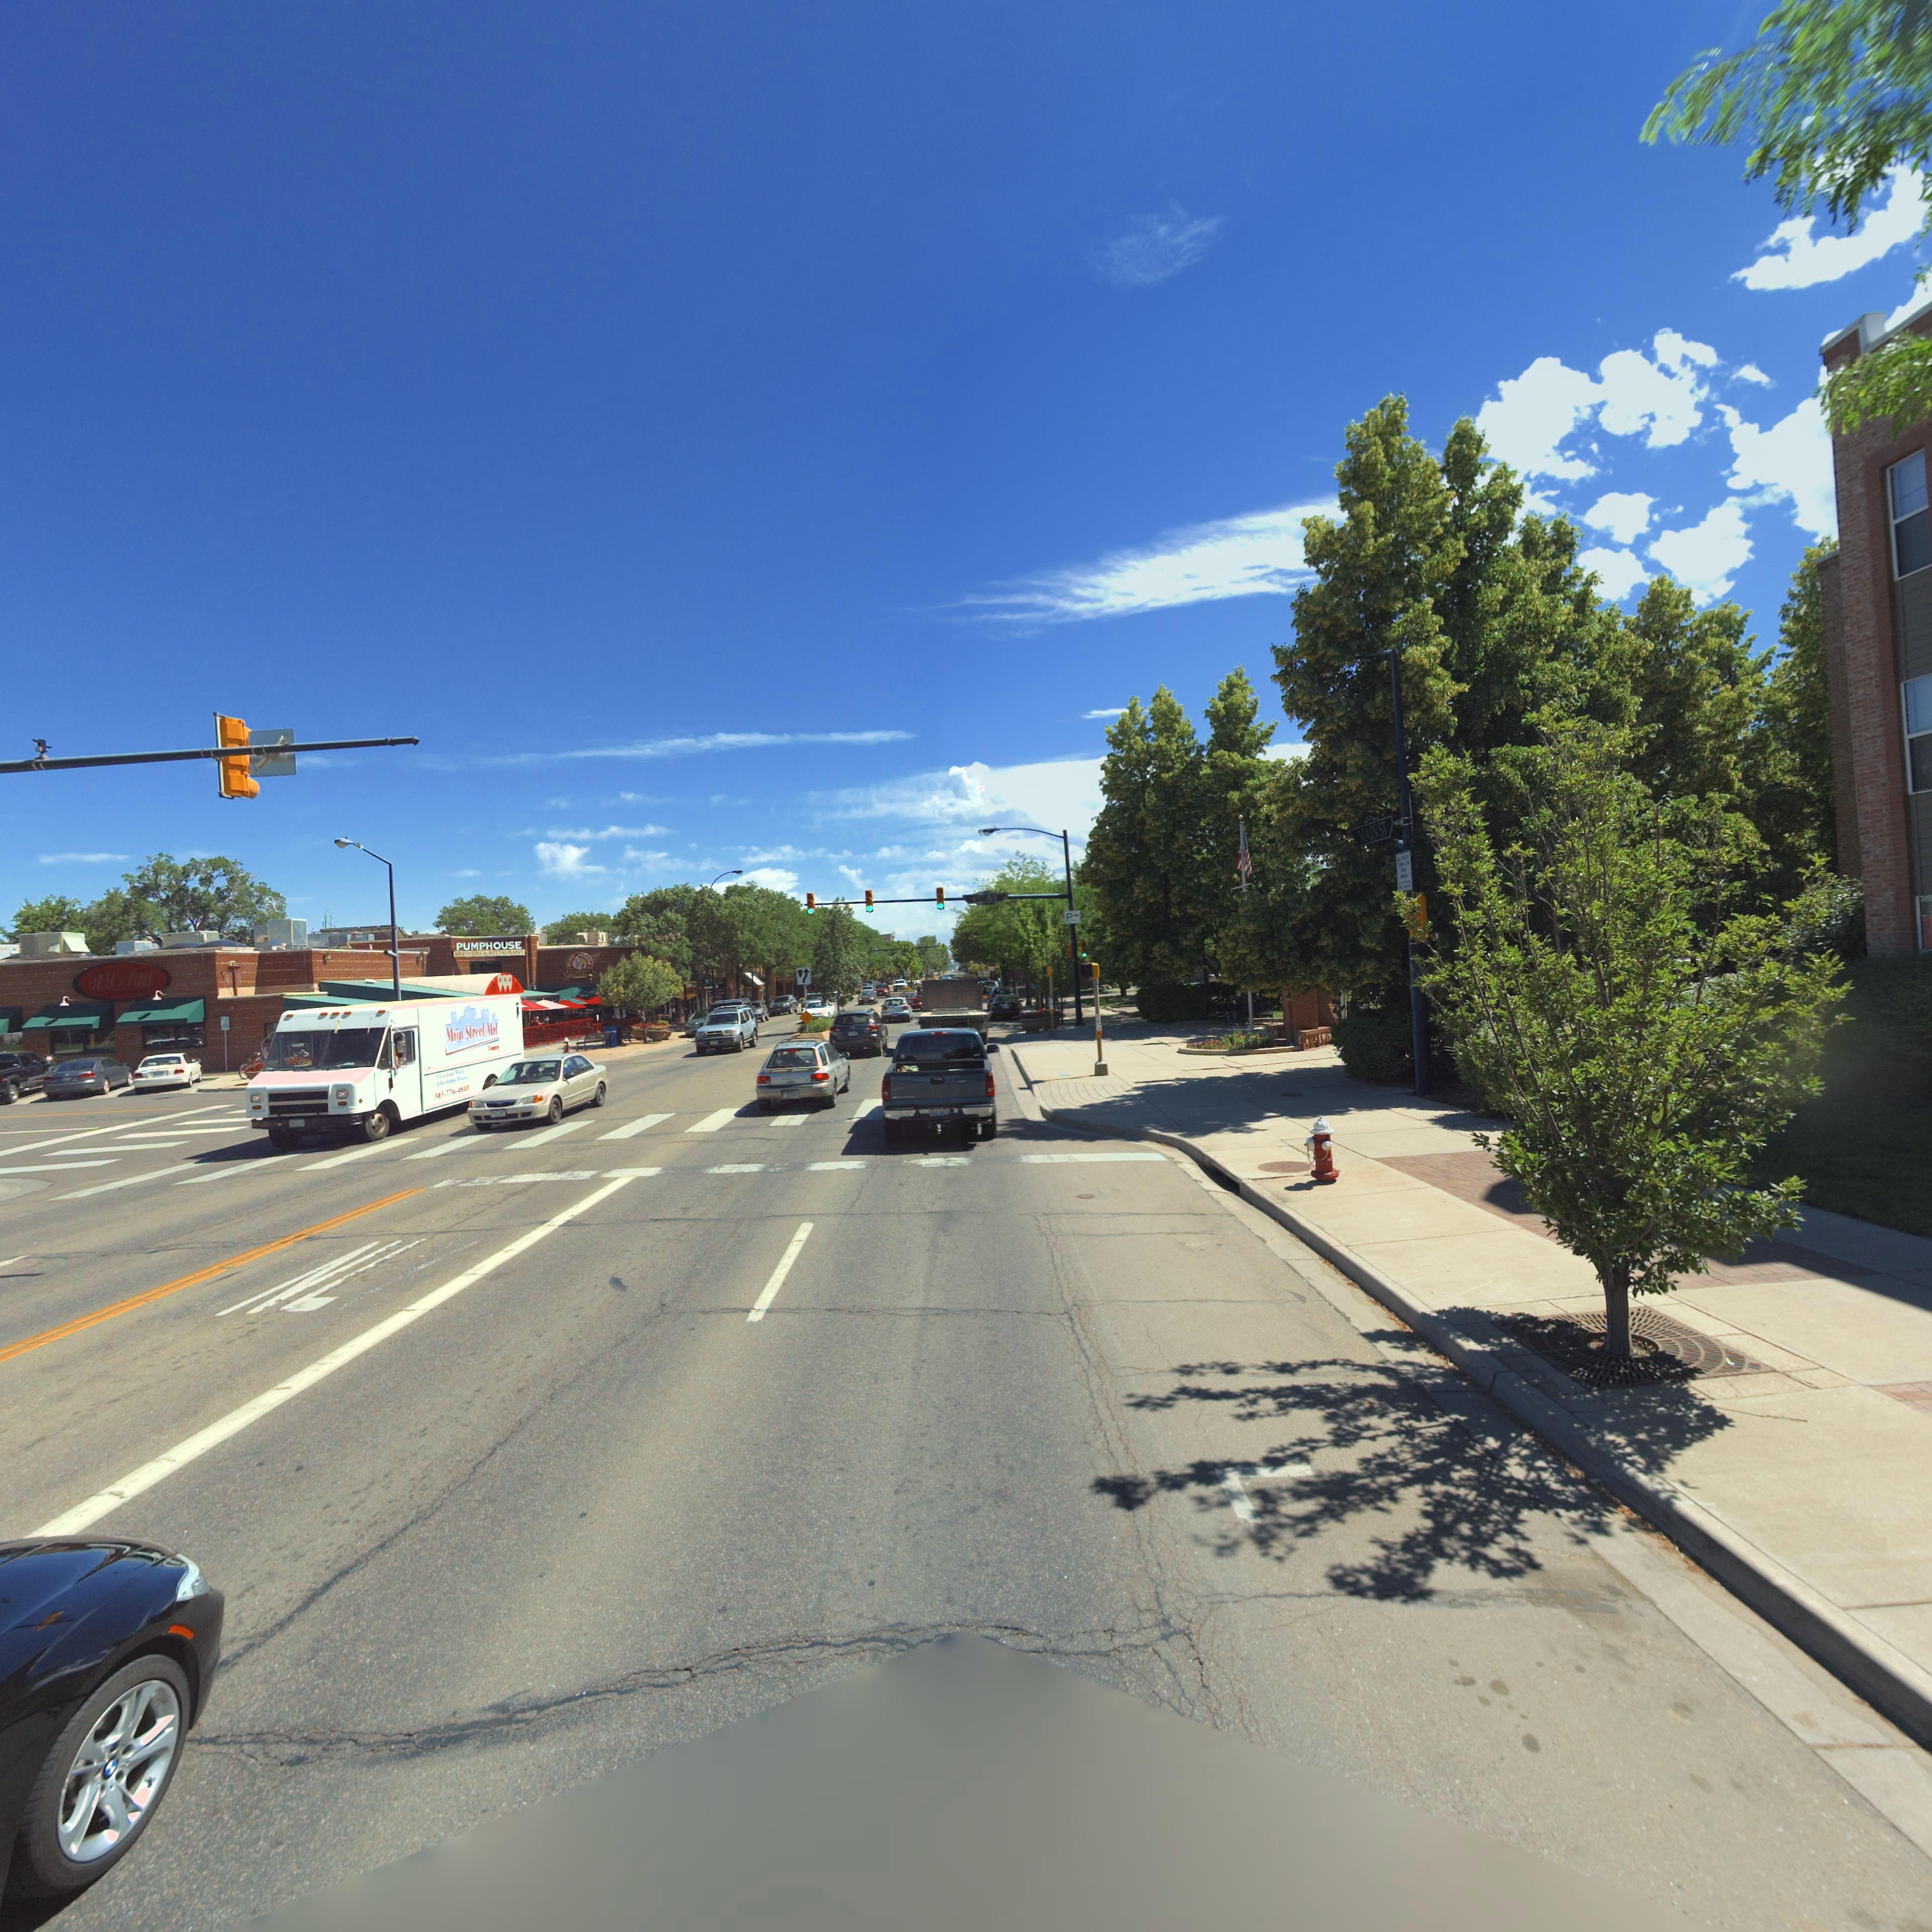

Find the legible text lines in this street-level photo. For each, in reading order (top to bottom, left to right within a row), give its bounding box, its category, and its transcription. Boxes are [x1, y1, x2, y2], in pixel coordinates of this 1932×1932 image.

[1357, 820, 1387, 843] StreetName: MAIN ST
[973, 894, 999, 902] StreetName: 6*** AVE
[456, 940, 522, 950] BusinessName: PUMPHOUSE
[455, 949, 524, 956] BusinessName: *REWERY * RESTAURANT
[566, 953, 591, 967] BusinessName: PU*P HOU*E
[91, 969, 154, 990] None: *ED **N*